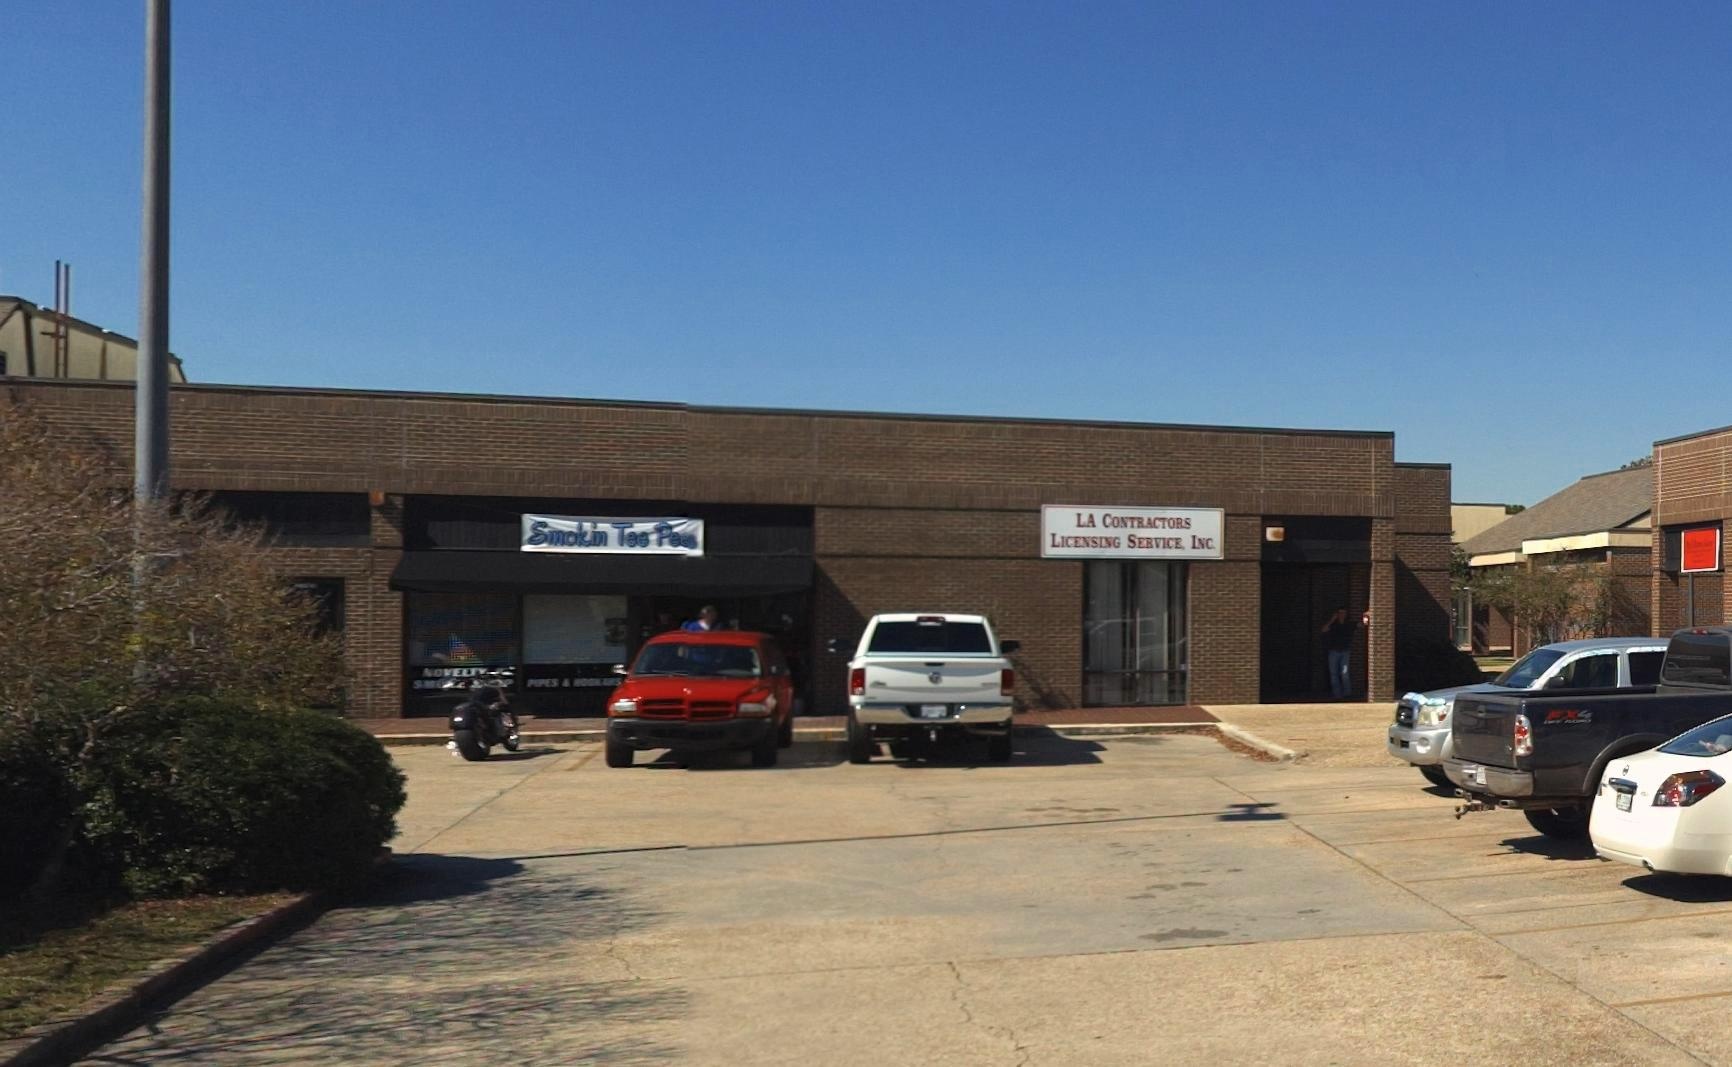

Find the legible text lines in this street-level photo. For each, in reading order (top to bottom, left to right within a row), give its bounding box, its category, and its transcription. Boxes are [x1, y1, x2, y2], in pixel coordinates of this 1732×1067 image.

[1073, 510, 1194, 532] BusinessName: LA CONTRACTORS
[522, 518, 685, 550] BusinessName: Smokin Tee Pe
[1048, 530, 1219, 552] BusinessName: LICENSING SERVICE, INC.
[417, 665, 478, 680] None: NOVE**
[542, 676, 561, 690] None: ES
[1559, 706, 1597, 723] None: X4